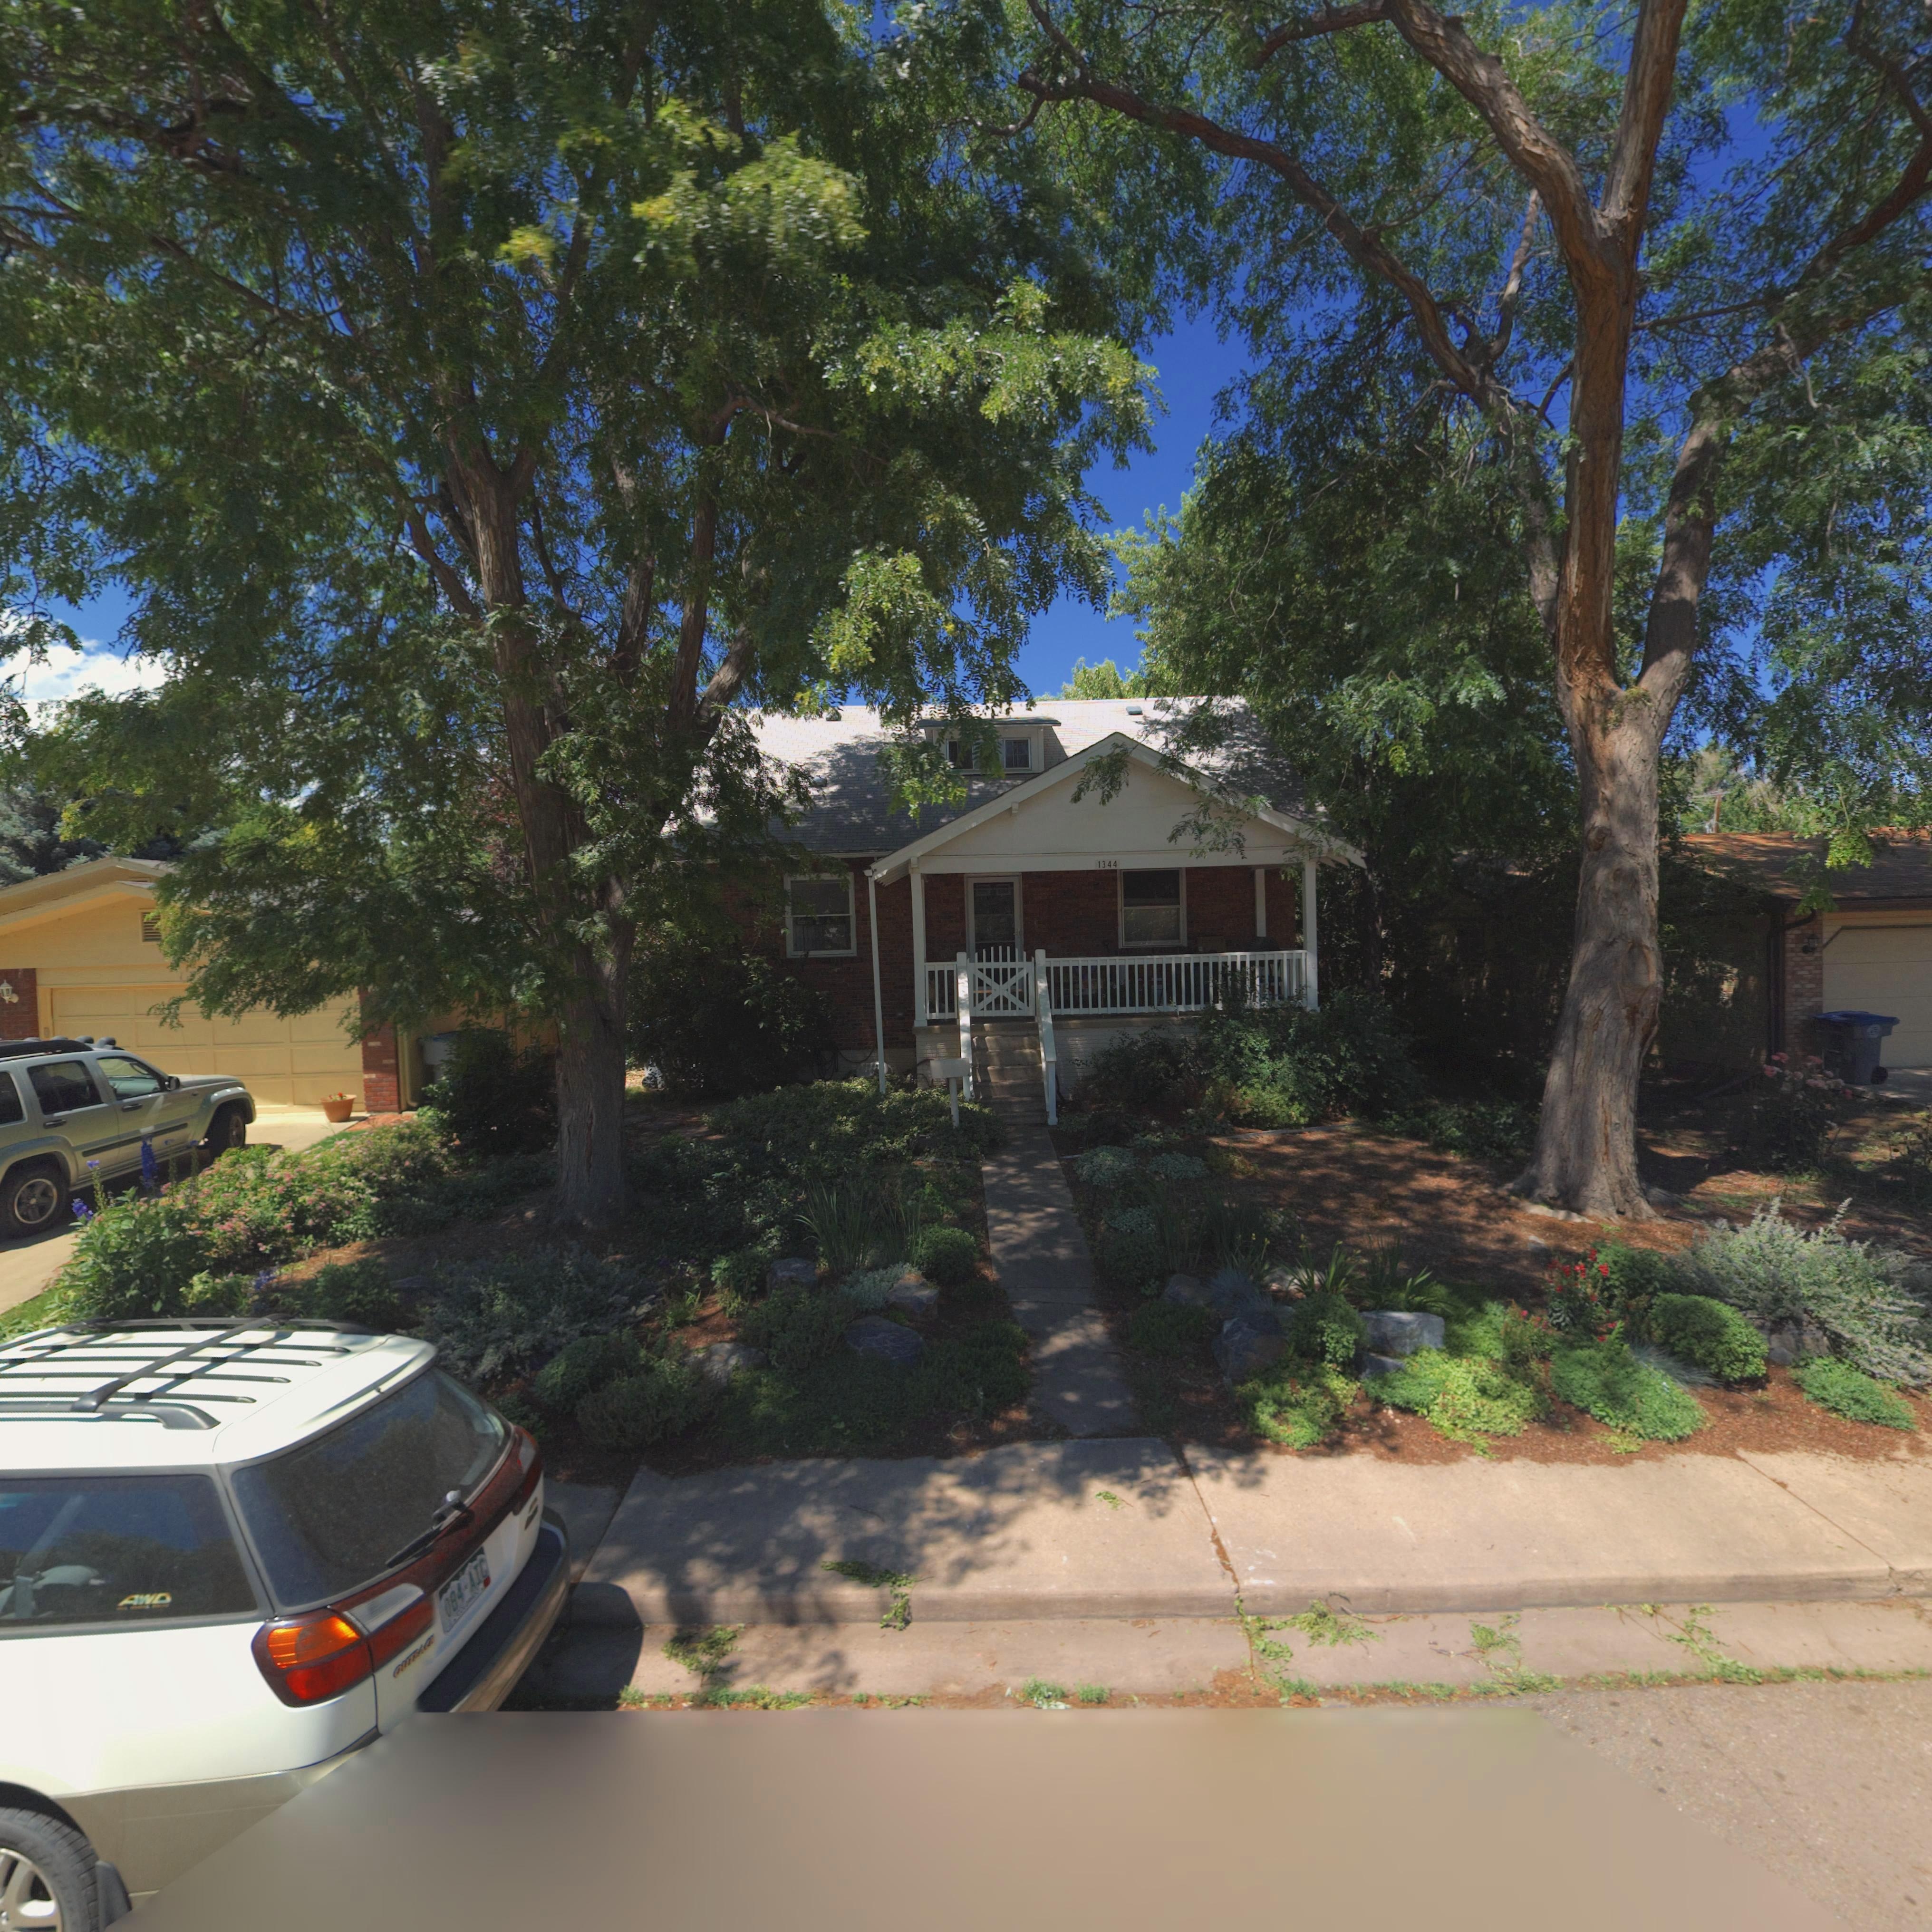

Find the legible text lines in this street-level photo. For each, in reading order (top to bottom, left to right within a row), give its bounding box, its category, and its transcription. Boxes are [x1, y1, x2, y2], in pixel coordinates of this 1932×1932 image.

[1098, 860, 1117, 869] StreetNumber: 1344